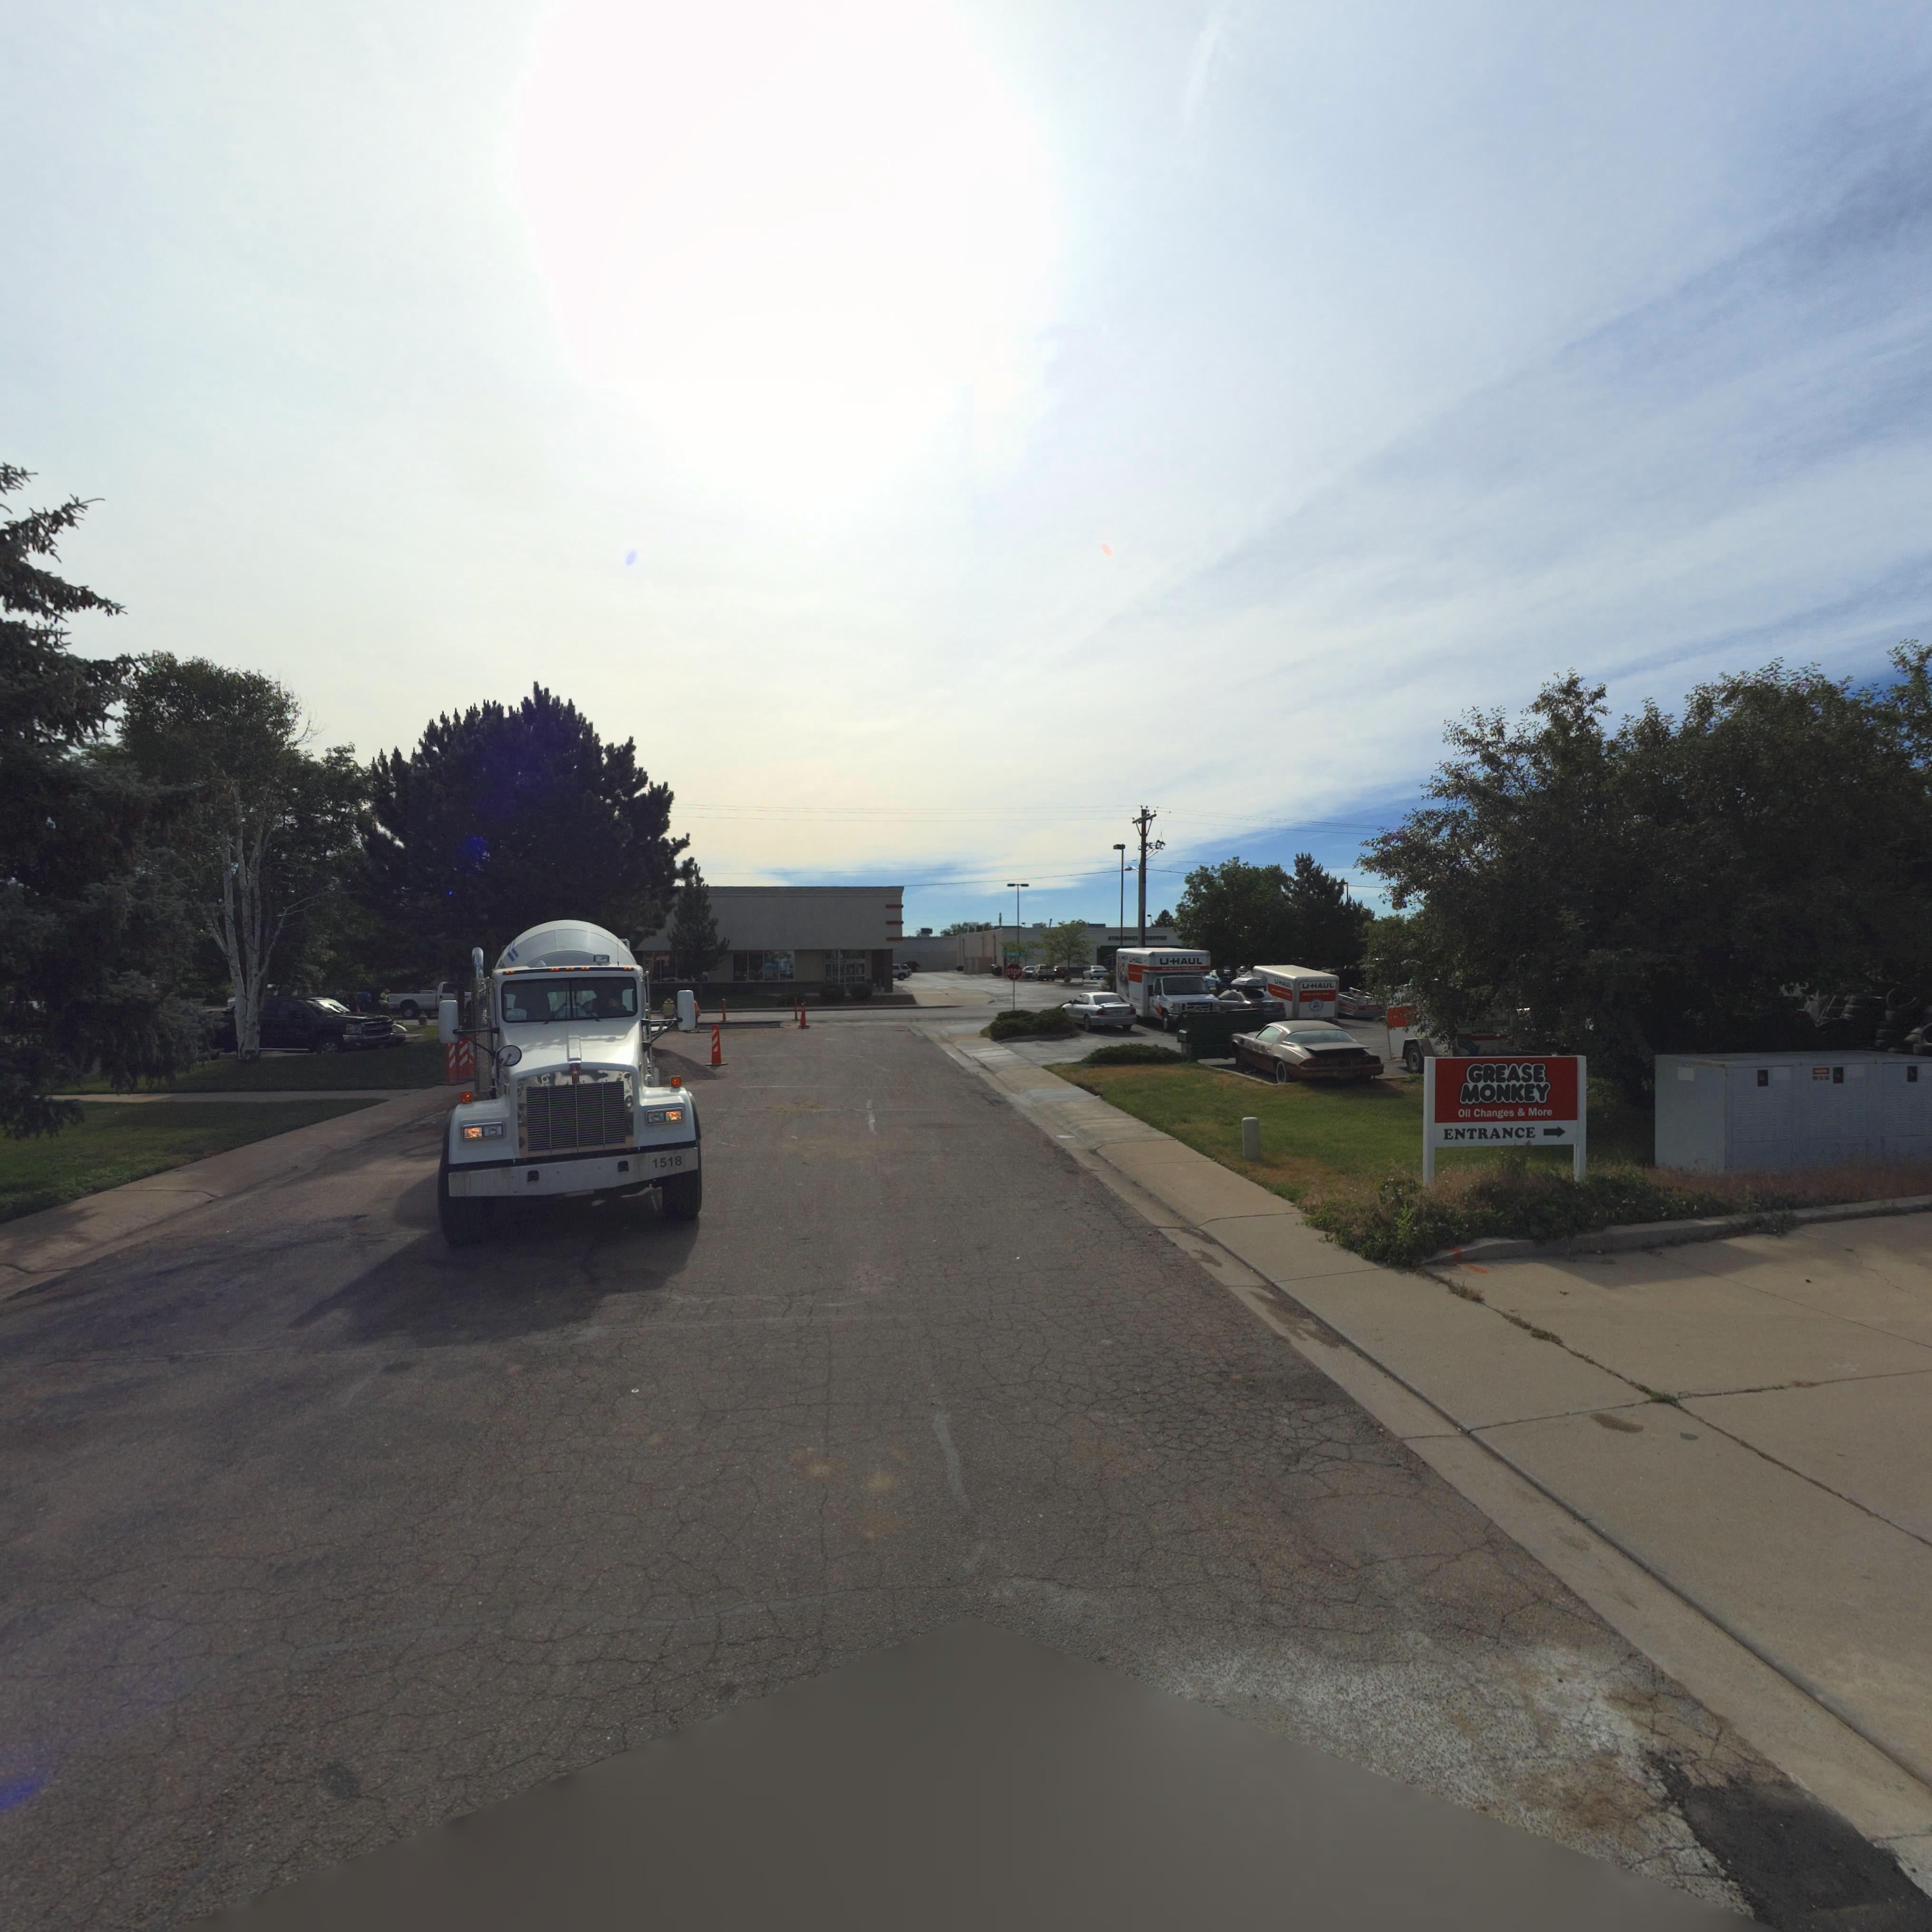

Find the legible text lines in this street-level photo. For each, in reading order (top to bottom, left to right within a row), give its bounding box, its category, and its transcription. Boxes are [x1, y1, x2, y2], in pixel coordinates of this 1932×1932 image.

[1108, 935, 1167, 940] BusinessName: STA**UC** COFF**
[1002, 951, 1025, 956] StreetName: S *O*E* **
[1468, 1063, 1544, 1083] BusinessName: GREASE
[1460, 1083, 1550, 1102] BusinessName: MONKEY